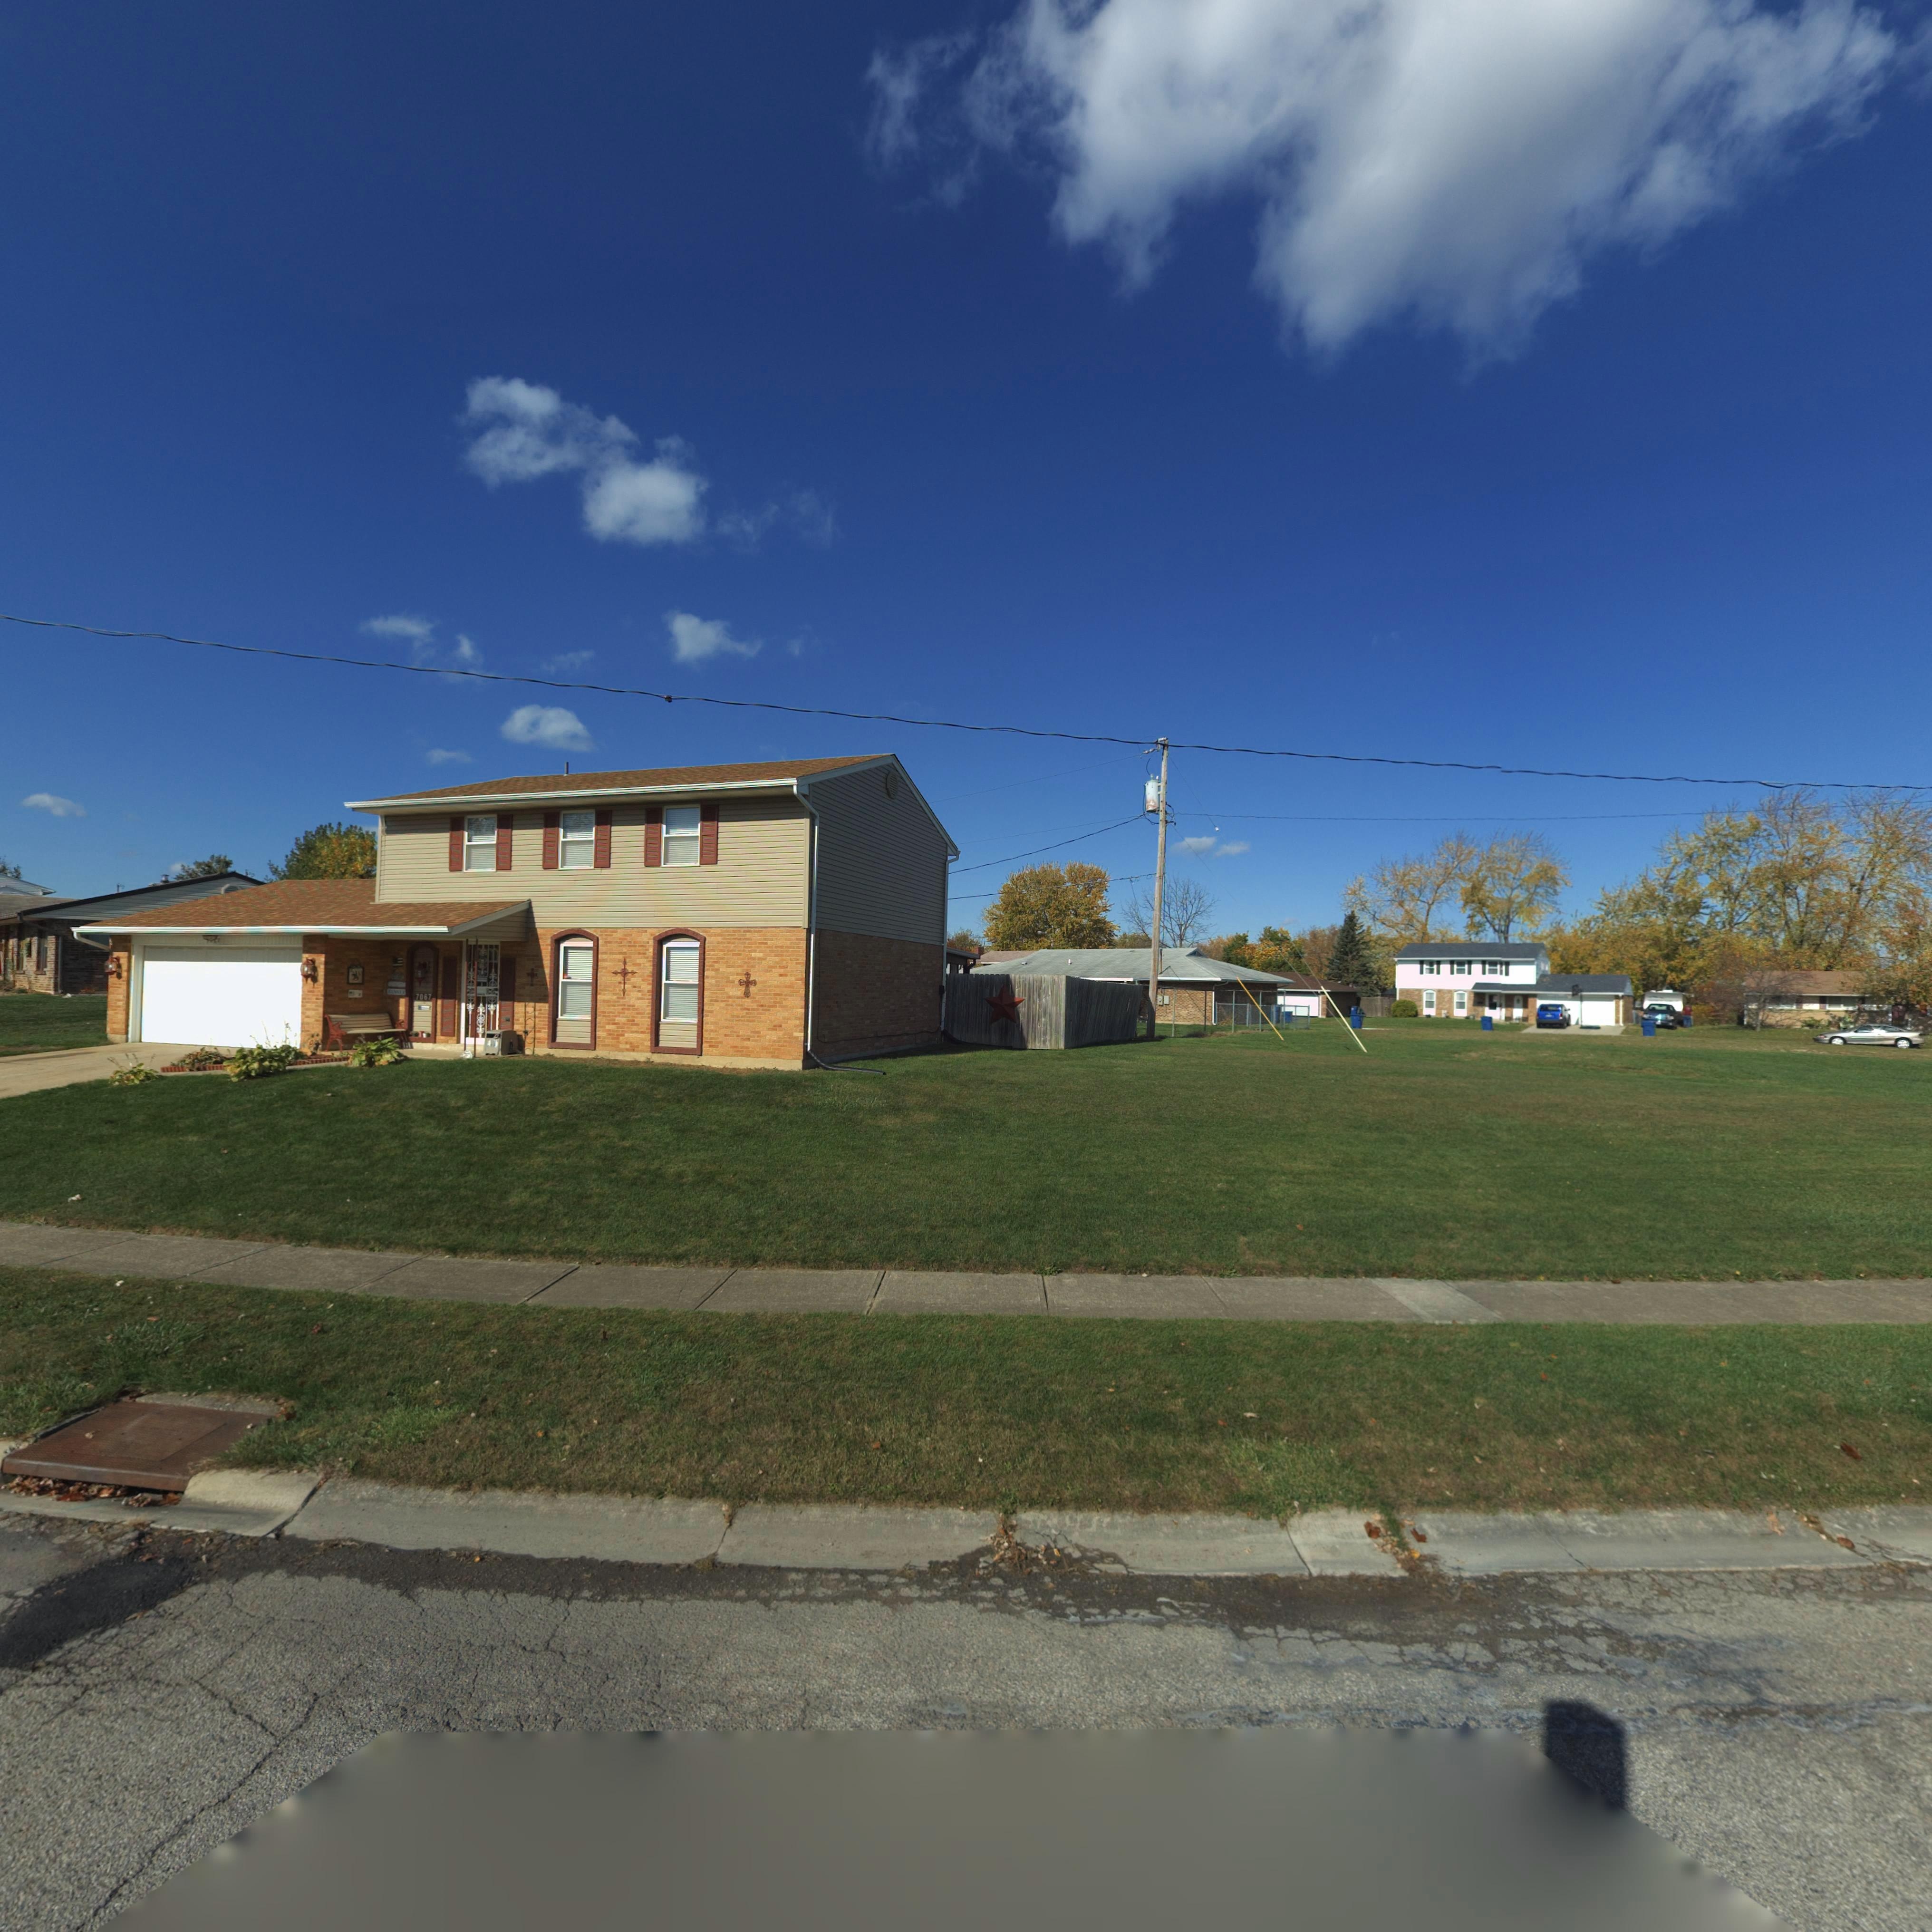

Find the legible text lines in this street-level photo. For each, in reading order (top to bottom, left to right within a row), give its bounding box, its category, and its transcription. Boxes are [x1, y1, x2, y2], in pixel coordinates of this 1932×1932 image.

[415, 993, 433, 1001] StreetNumber: 7067